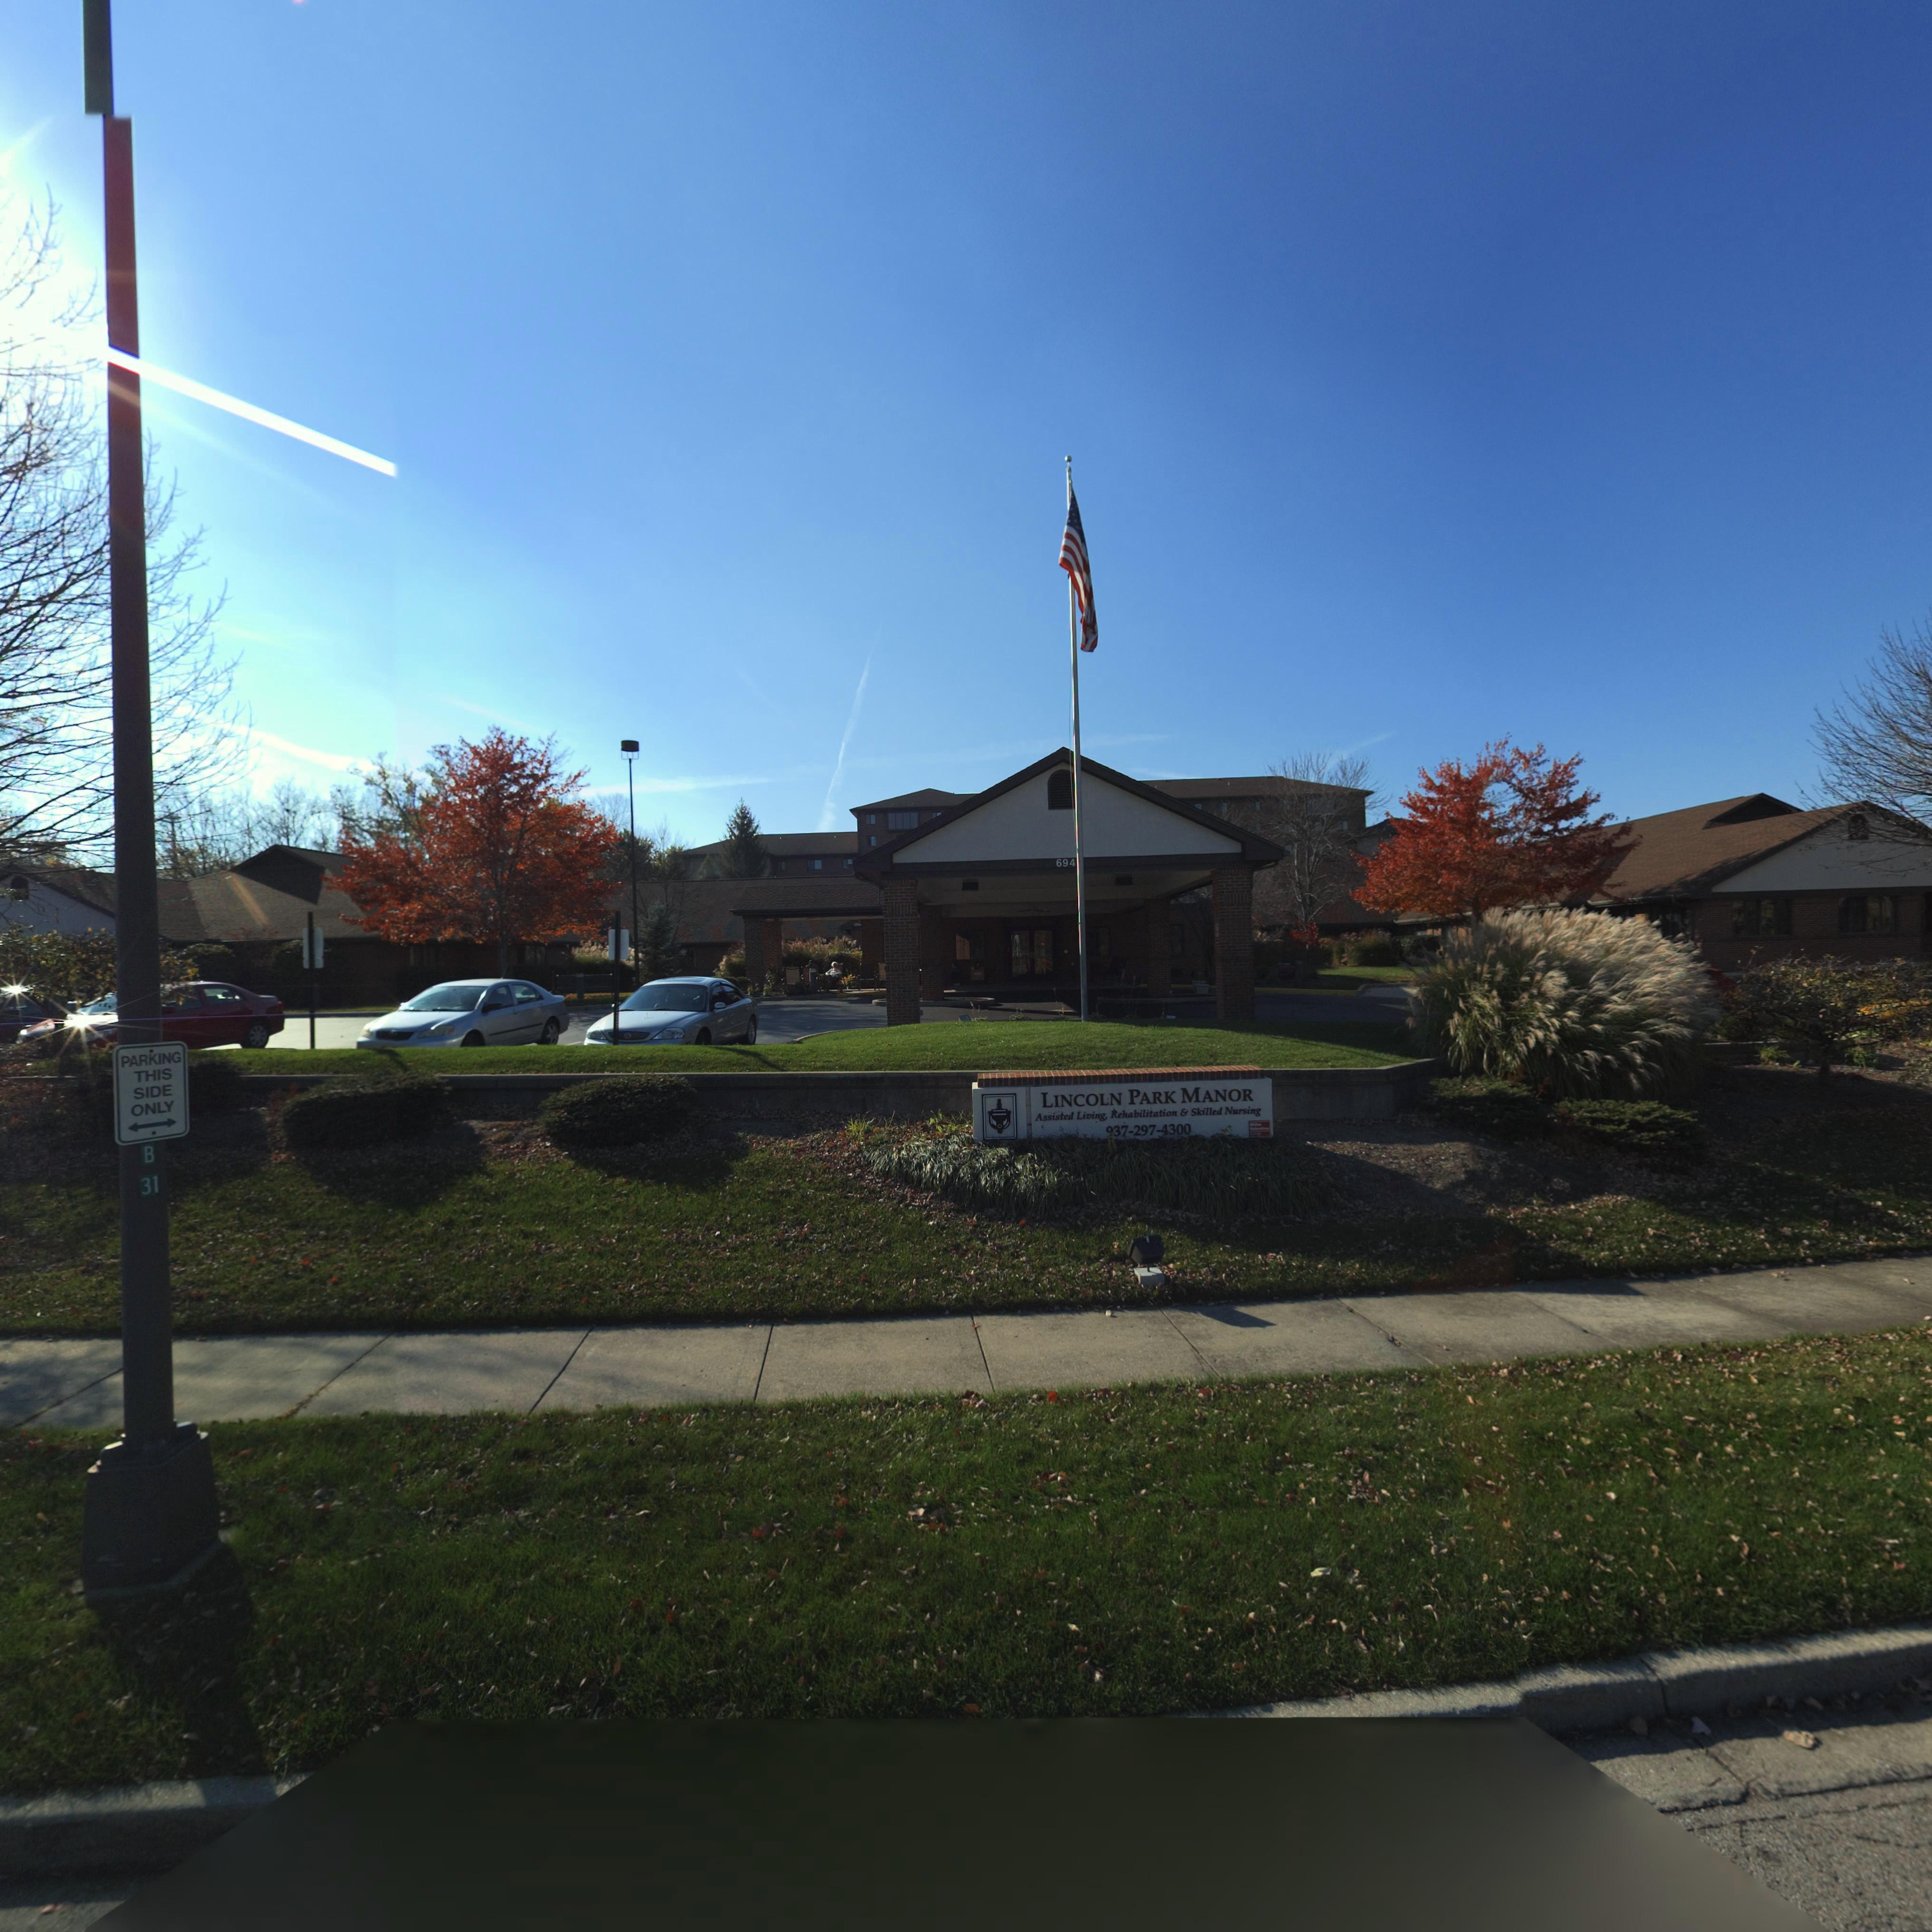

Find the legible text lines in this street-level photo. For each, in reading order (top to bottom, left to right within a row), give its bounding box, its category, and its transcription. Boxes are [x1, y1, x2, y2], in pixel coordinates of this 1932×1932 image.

[1055, 858, 1076, 868] StreetNumber: 694
[1040, 1086, 1255, 1109] BusinessName: LINCOLN PARK MANOR